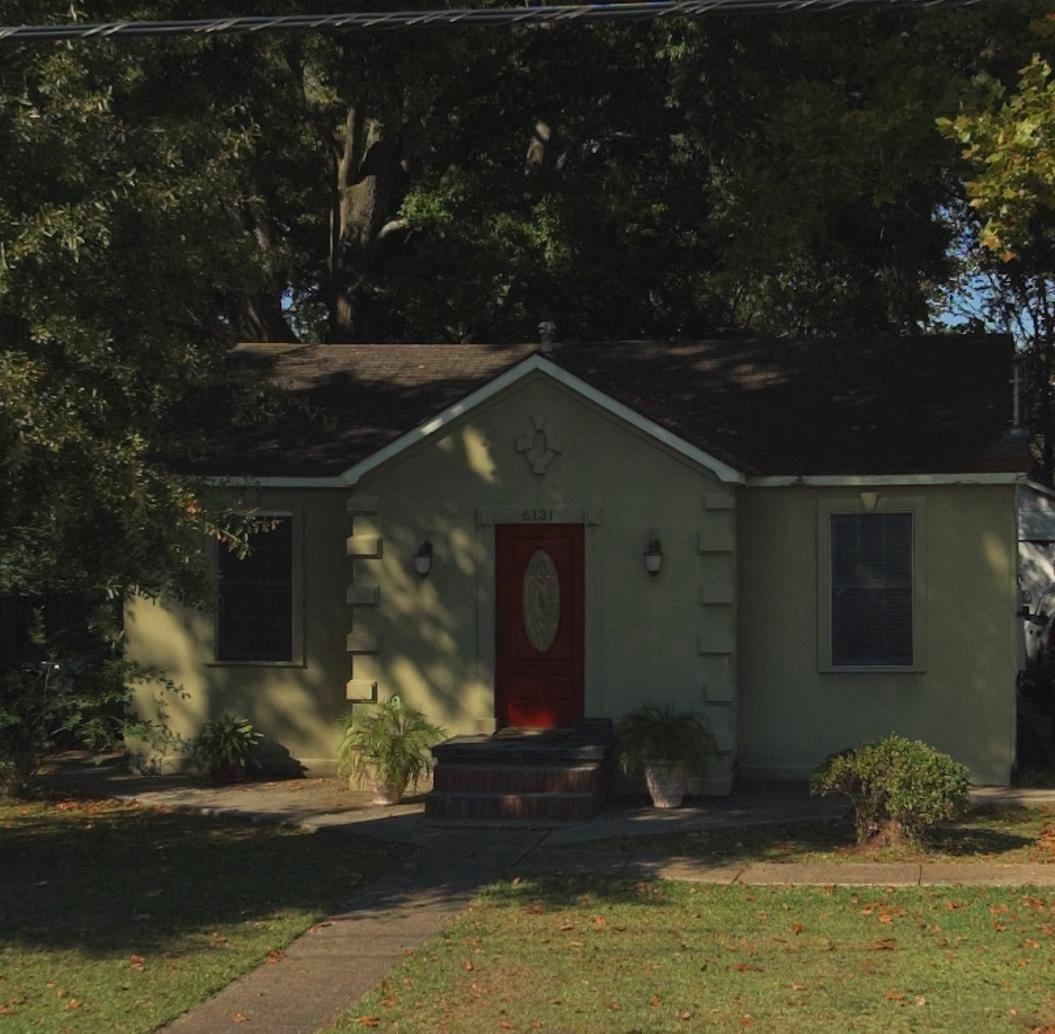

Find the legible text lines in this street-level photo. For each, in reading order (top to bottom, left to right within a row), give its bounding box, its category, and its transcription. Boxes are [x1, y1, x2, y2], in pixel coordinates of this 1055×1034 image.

[521, 508, 555, 522] StreetNumber: 6131